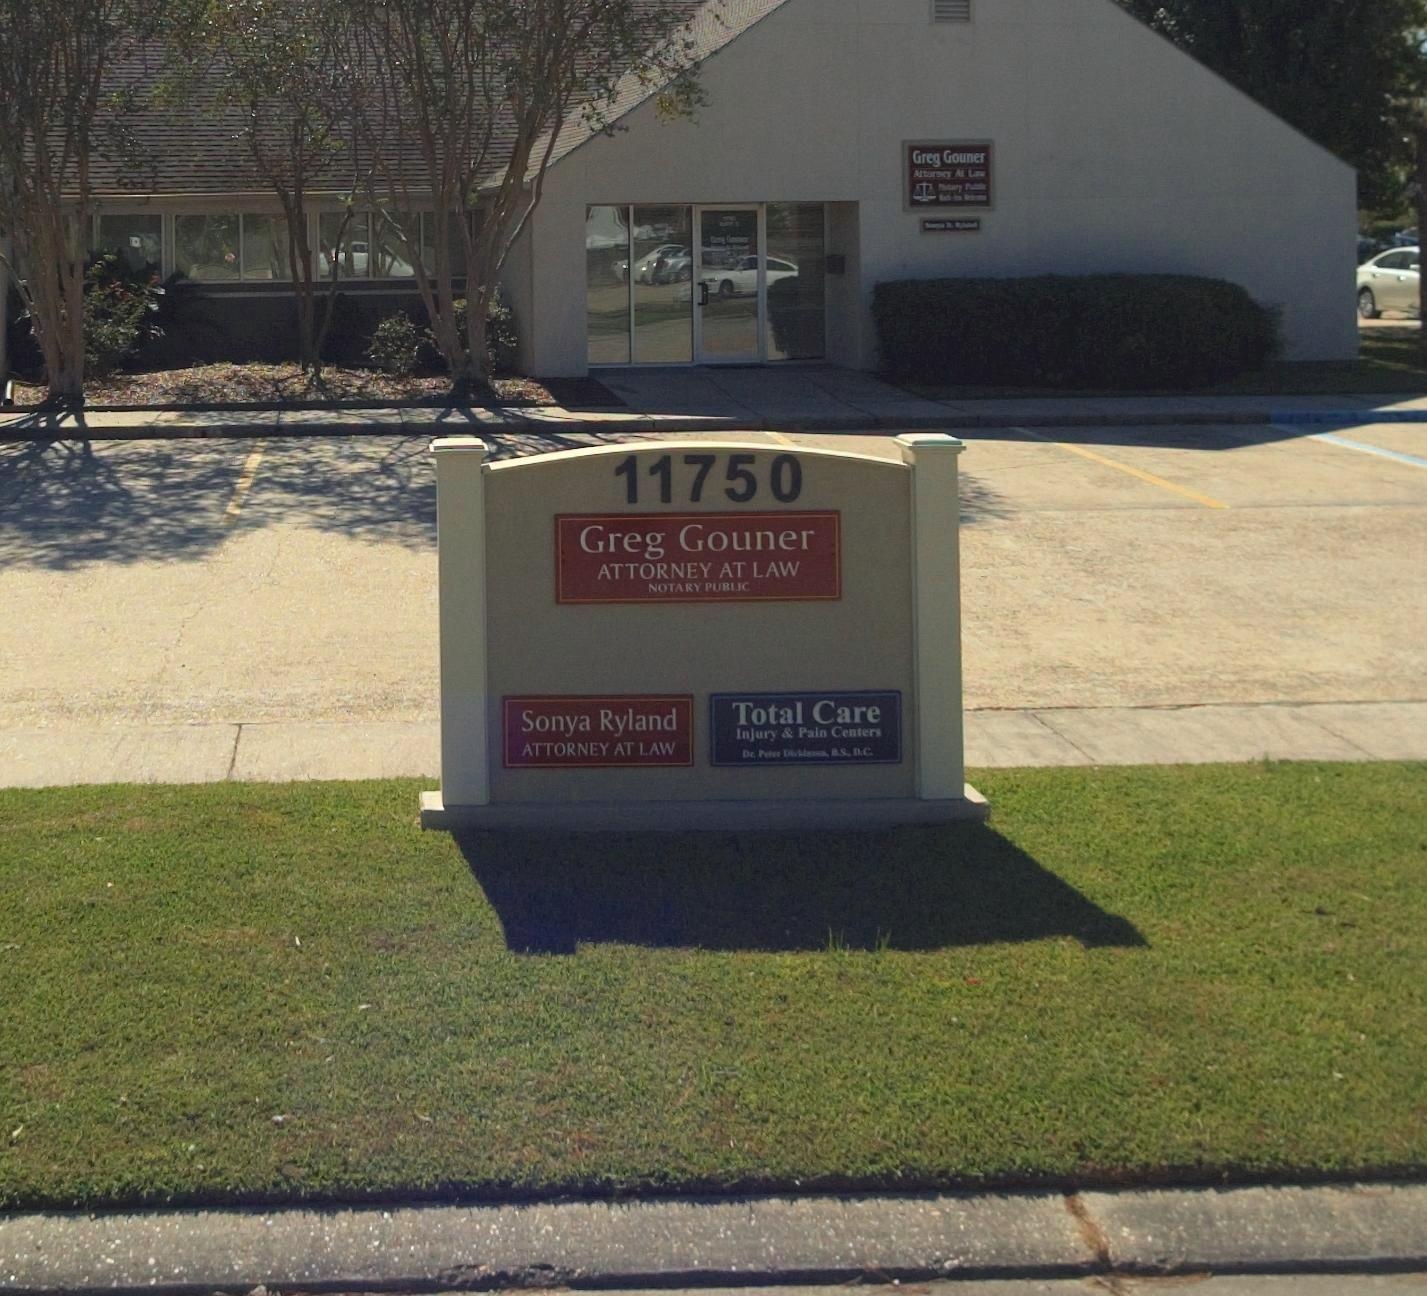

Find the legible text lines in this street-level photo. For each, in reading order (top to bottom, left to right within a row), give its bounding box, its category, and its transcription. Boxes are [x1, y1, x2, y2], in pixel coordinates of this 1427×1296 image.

[910, 146, 989, 171] BusinessName: Greg Gouner
[609, 450, 808, 508] StreetNumber: 11750
[576, 522, 818, 562] BusinessName: Greg Gouner
[592, 558, 804, 583] BusinessName: ATTORNEY AT LAW
[646, 579, 753, 596] None: NOTARY PUBLIC
[519, 705, 679, 739] BusinessName: Sonya Ryland
[729, 697, 884, 728] BusinessName: Total Care
[733, 724, 884, 745] None: InJury & Pain Centers
[517, 739, 681, 761] BusinessName: ATTORNEY AT LAW
[740, 746, 767, 762] None: Dr. P
[828, 744, 876, 759] None: B.S. D.C.